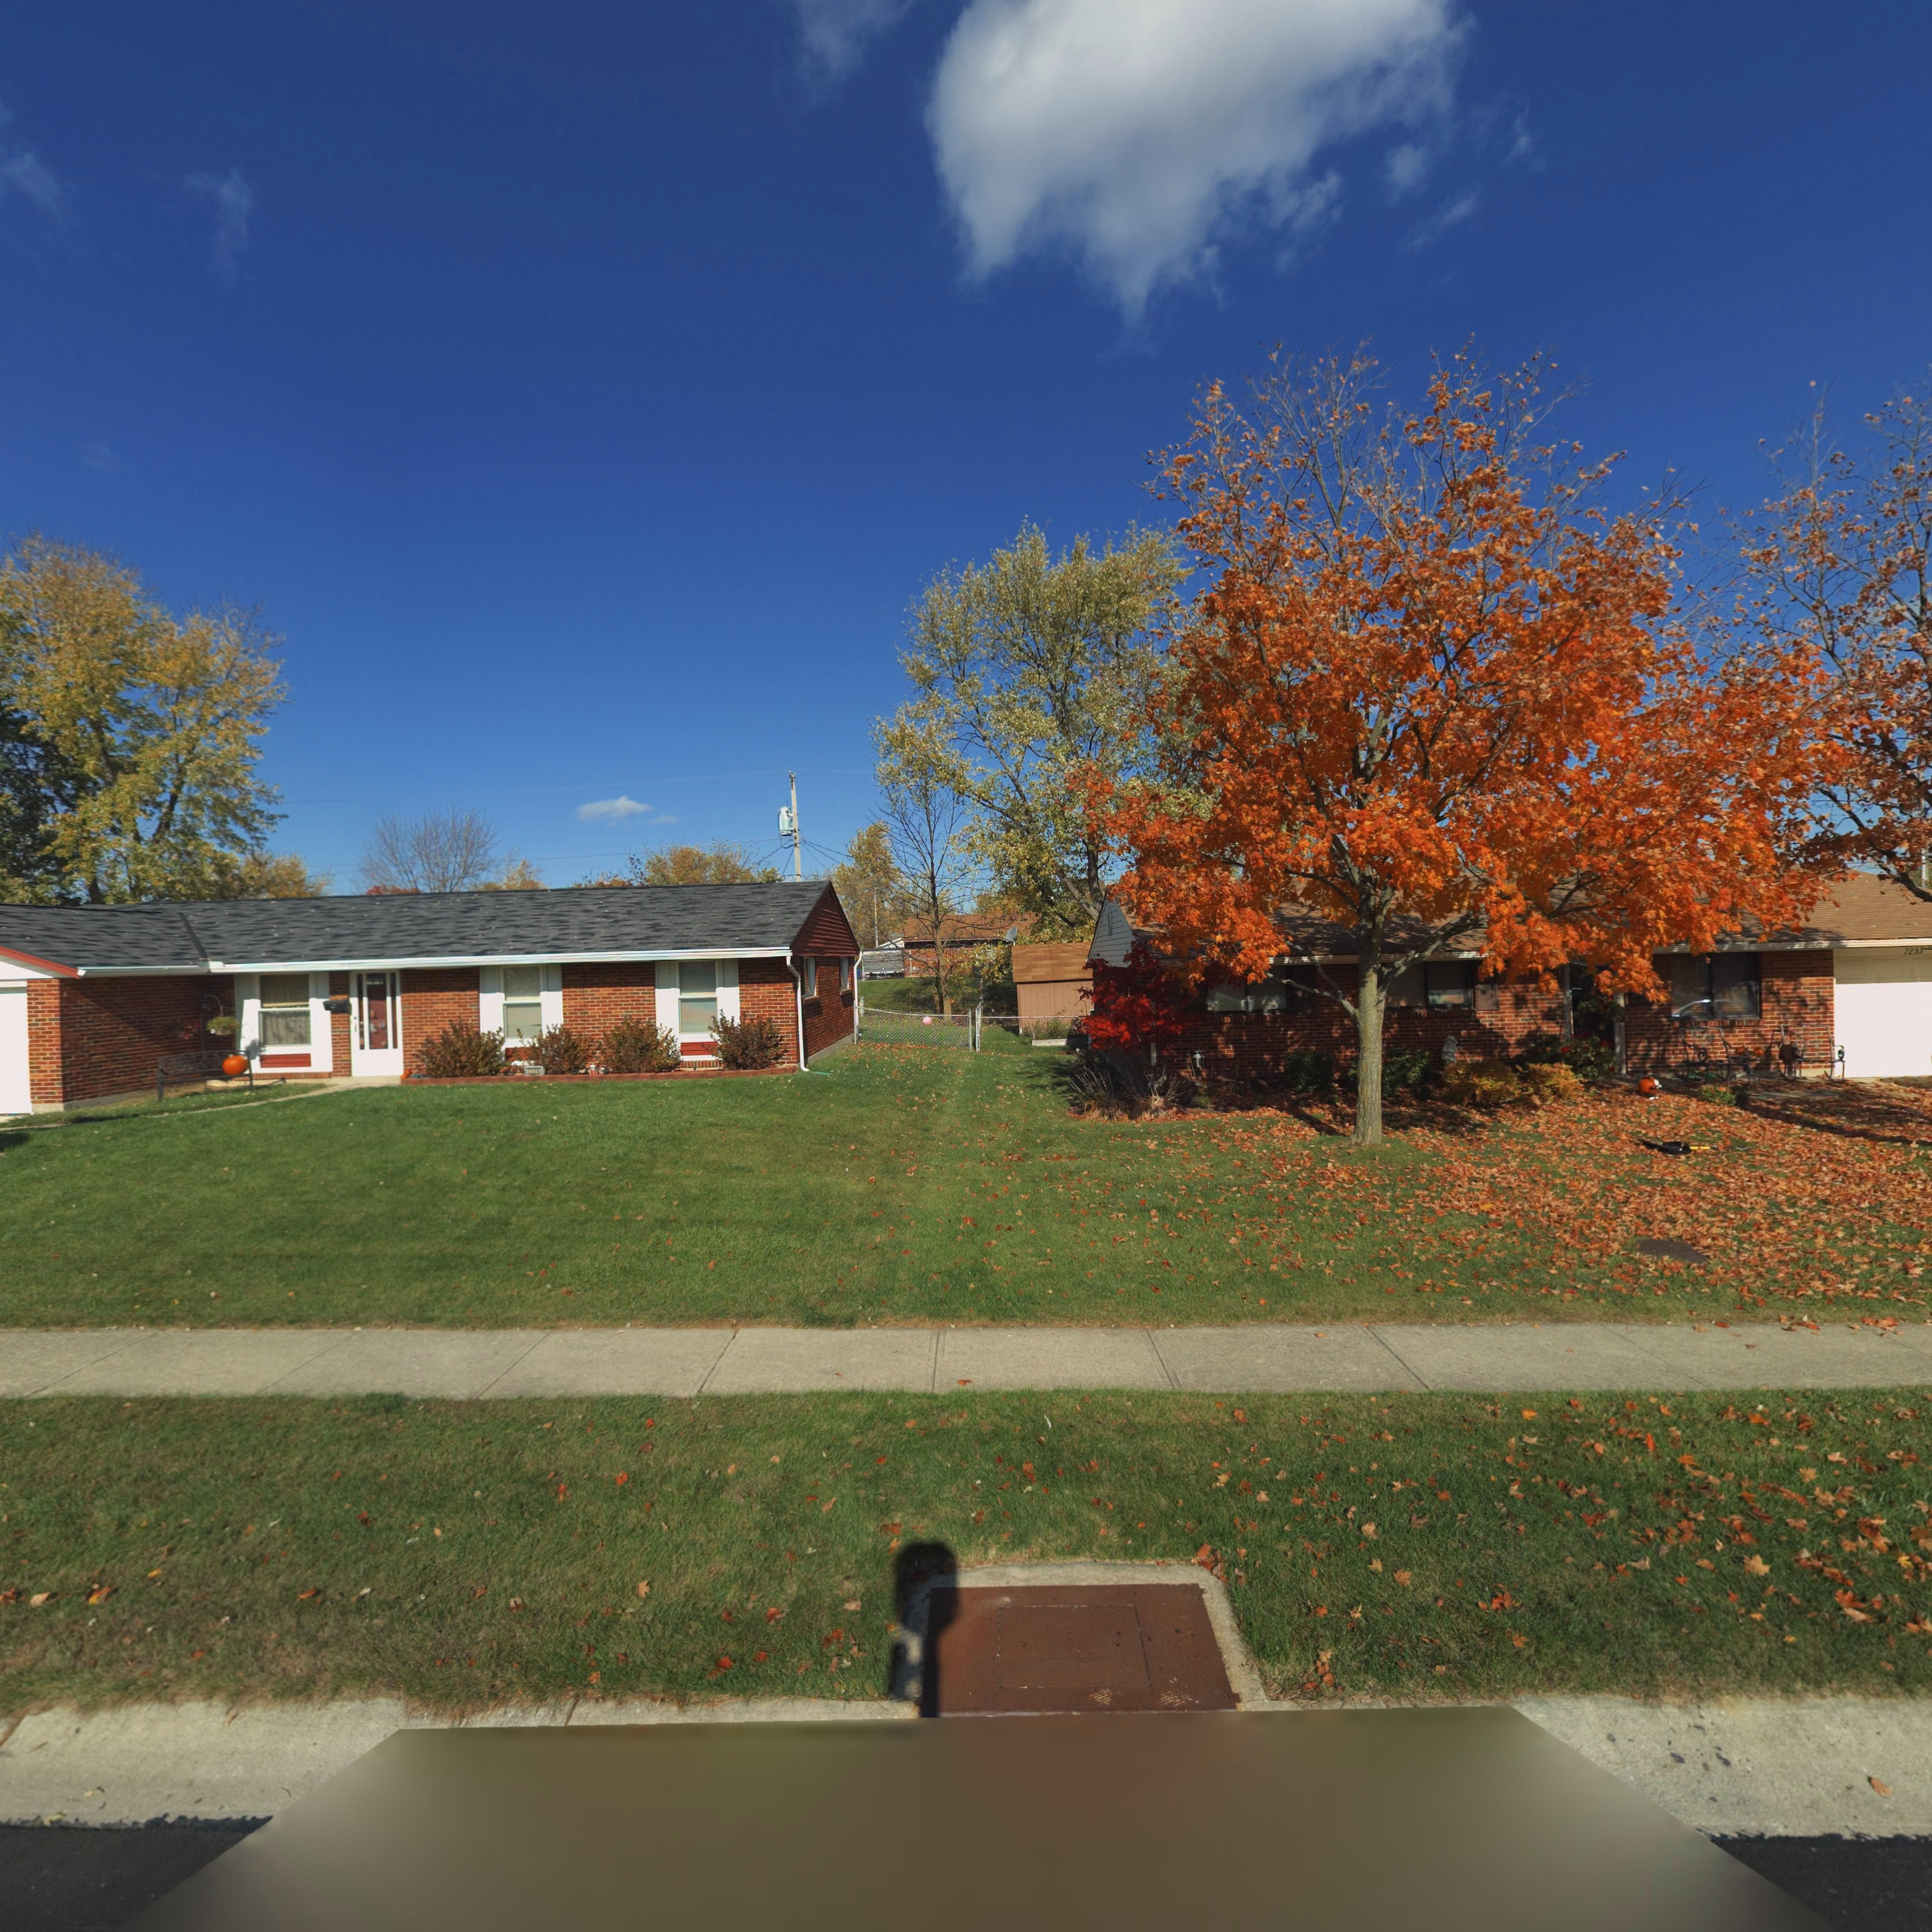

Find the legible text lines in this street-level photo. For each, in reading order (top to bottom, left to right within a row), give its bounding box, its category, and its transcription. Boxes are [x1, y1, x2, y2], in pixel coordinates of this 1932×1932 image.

[1903, 946, 1924, 956] StreetNumber: 72*